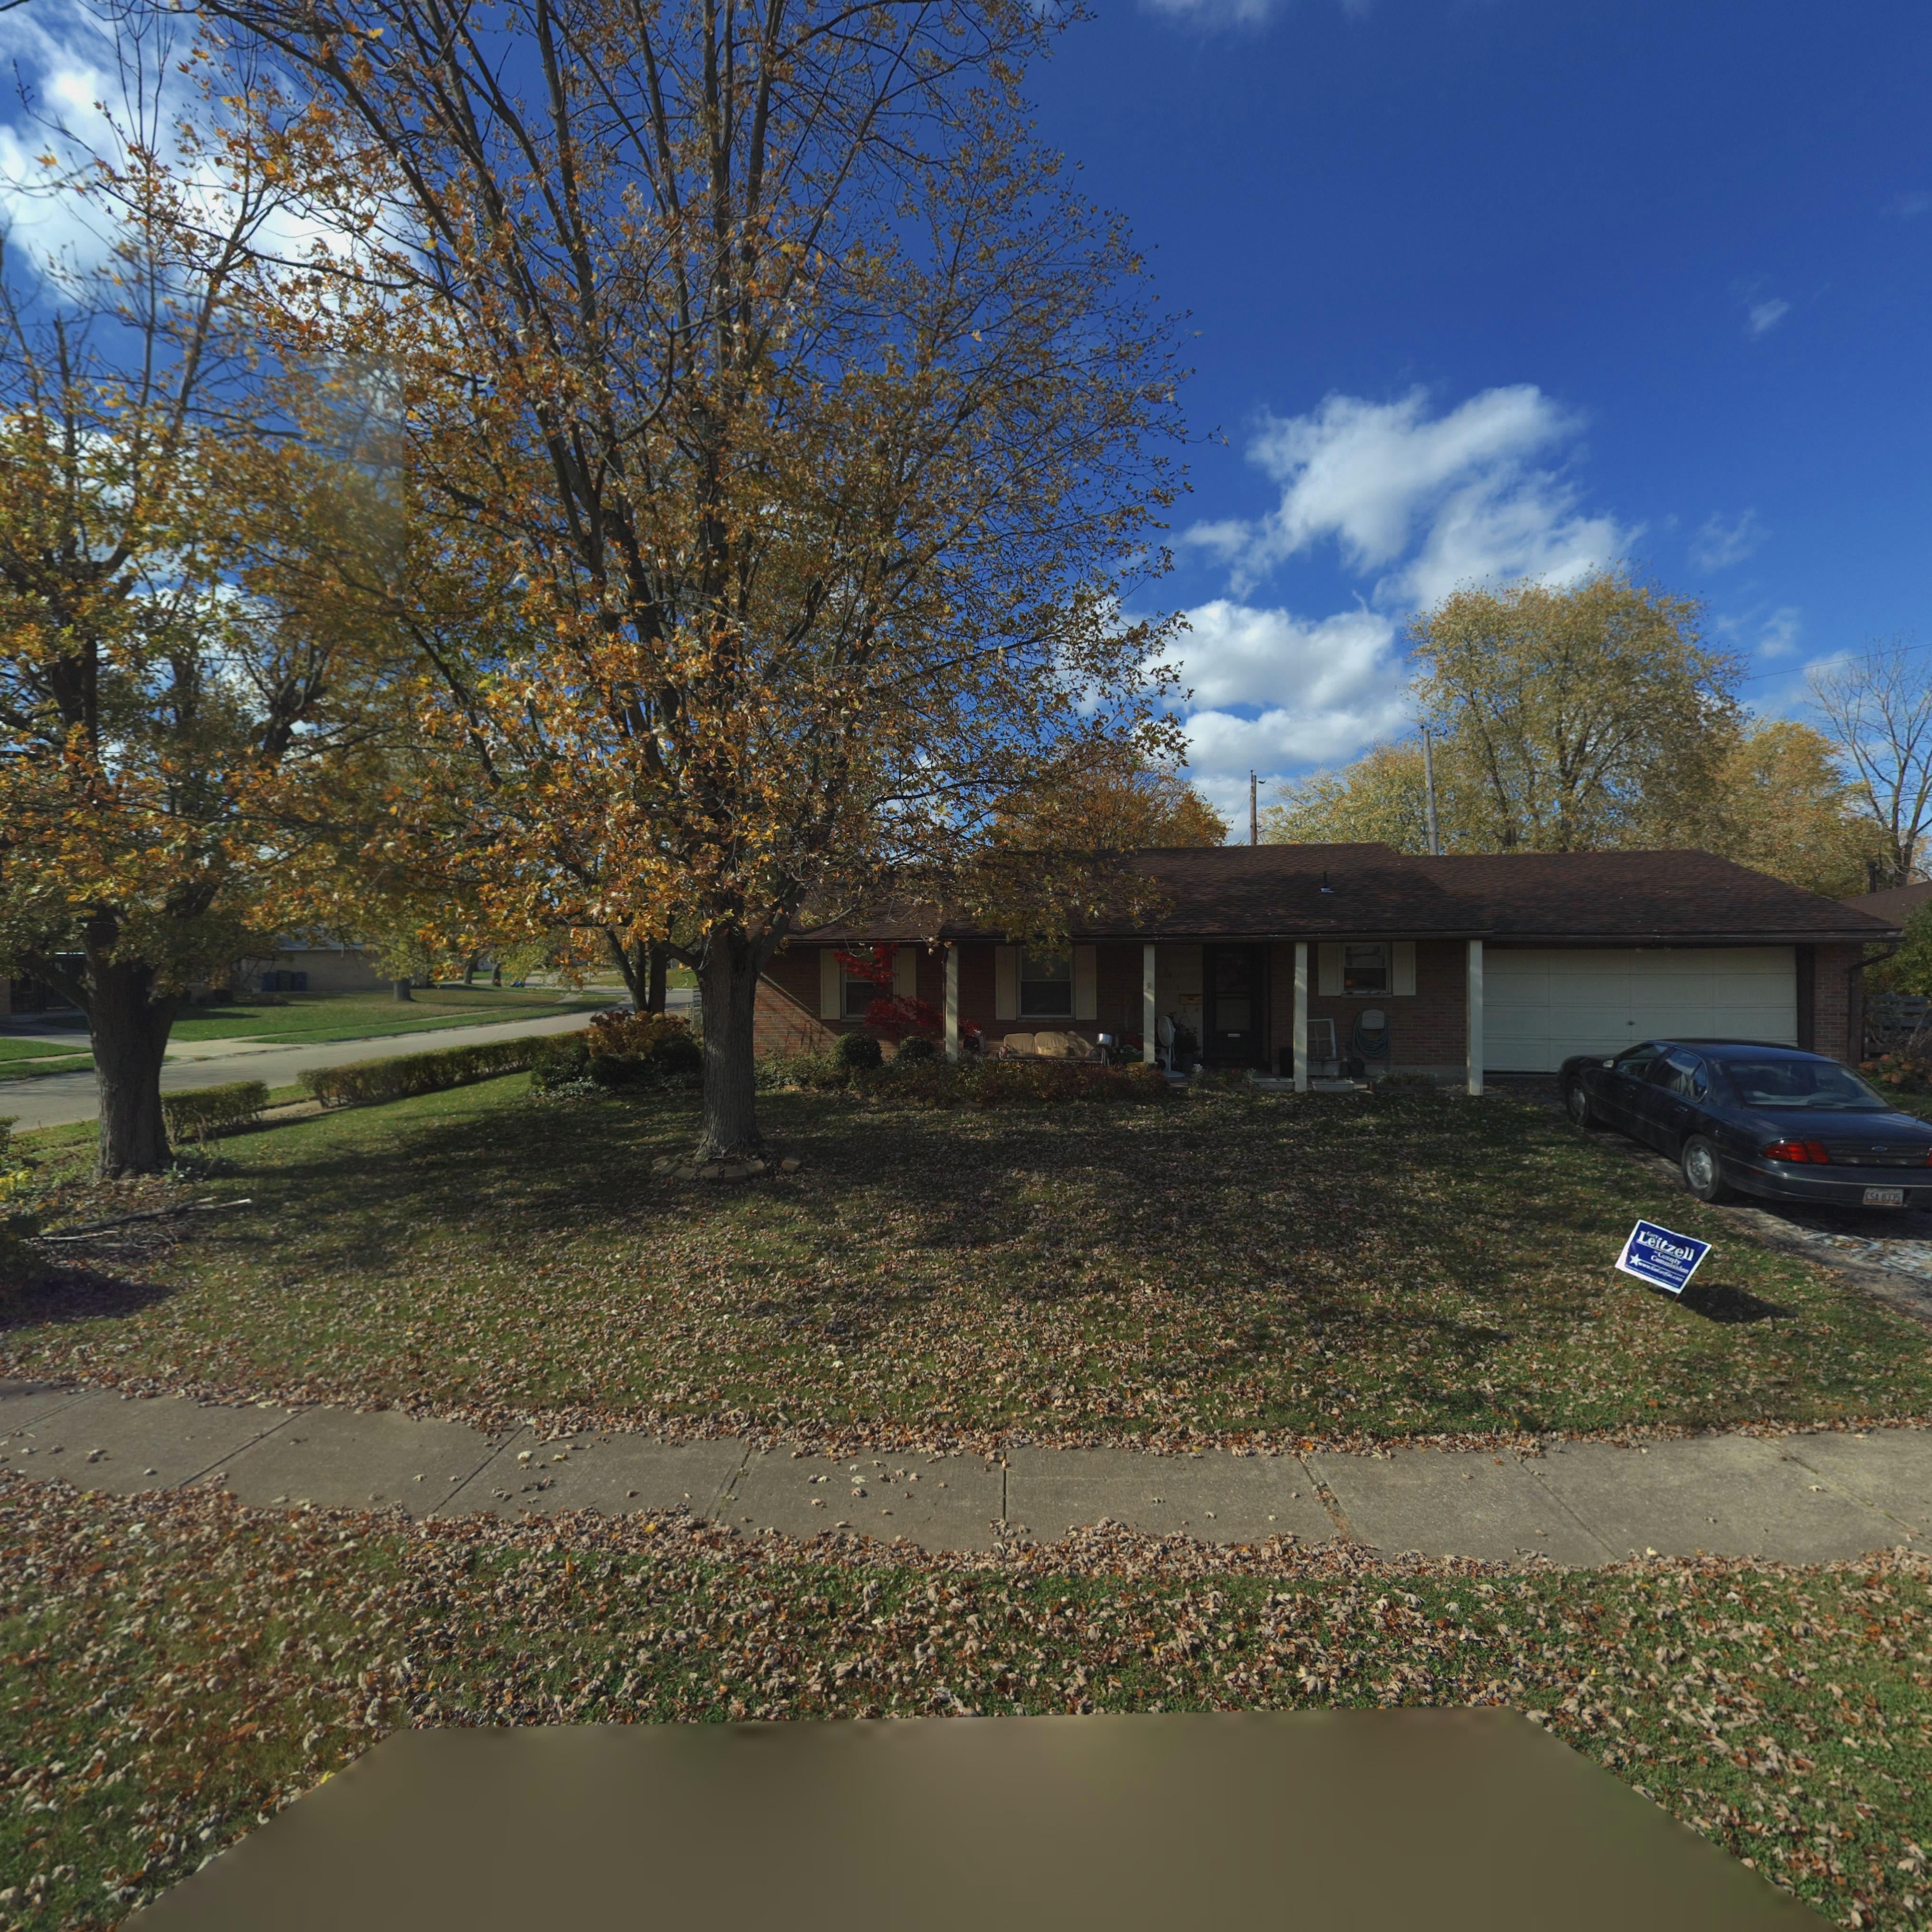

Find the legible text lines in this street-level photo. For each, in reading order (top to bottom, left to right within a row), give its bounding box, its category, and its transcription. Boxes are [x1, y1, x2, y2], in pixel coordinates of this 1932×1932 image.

[1164, 966, 1180, 992] StreetNumber: 7611